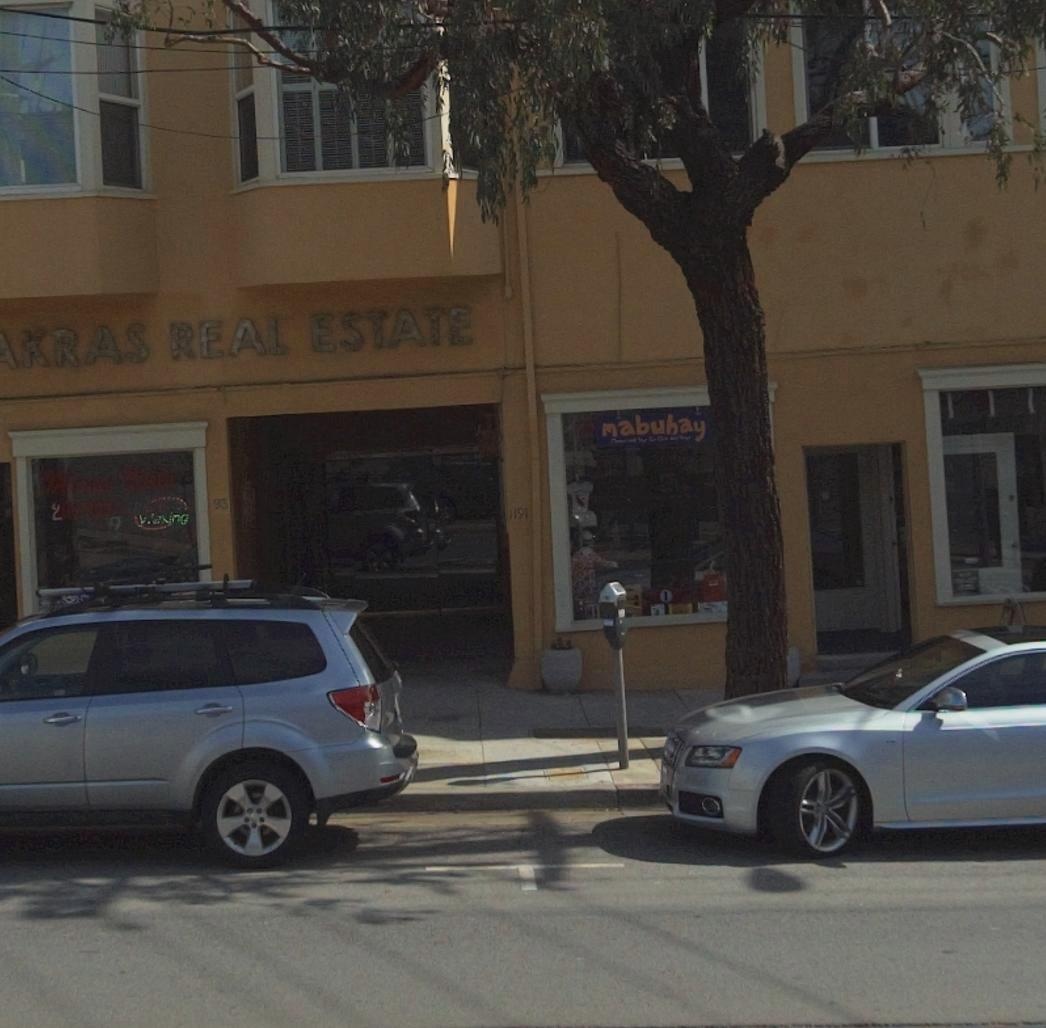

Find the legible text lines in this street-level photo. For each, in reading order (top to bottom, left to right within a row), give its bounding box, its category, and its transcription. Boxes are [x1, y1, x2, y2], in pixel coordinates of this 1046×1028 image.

[18, 305, 475, 371] BusinessName: KRAS REAL ESTATE
[600, 412, 707, 443] BusinessName: mabuhay
[212, 497, 229, 511] None: 93
[508, 506, 529, 522] StreetNumber: 1191